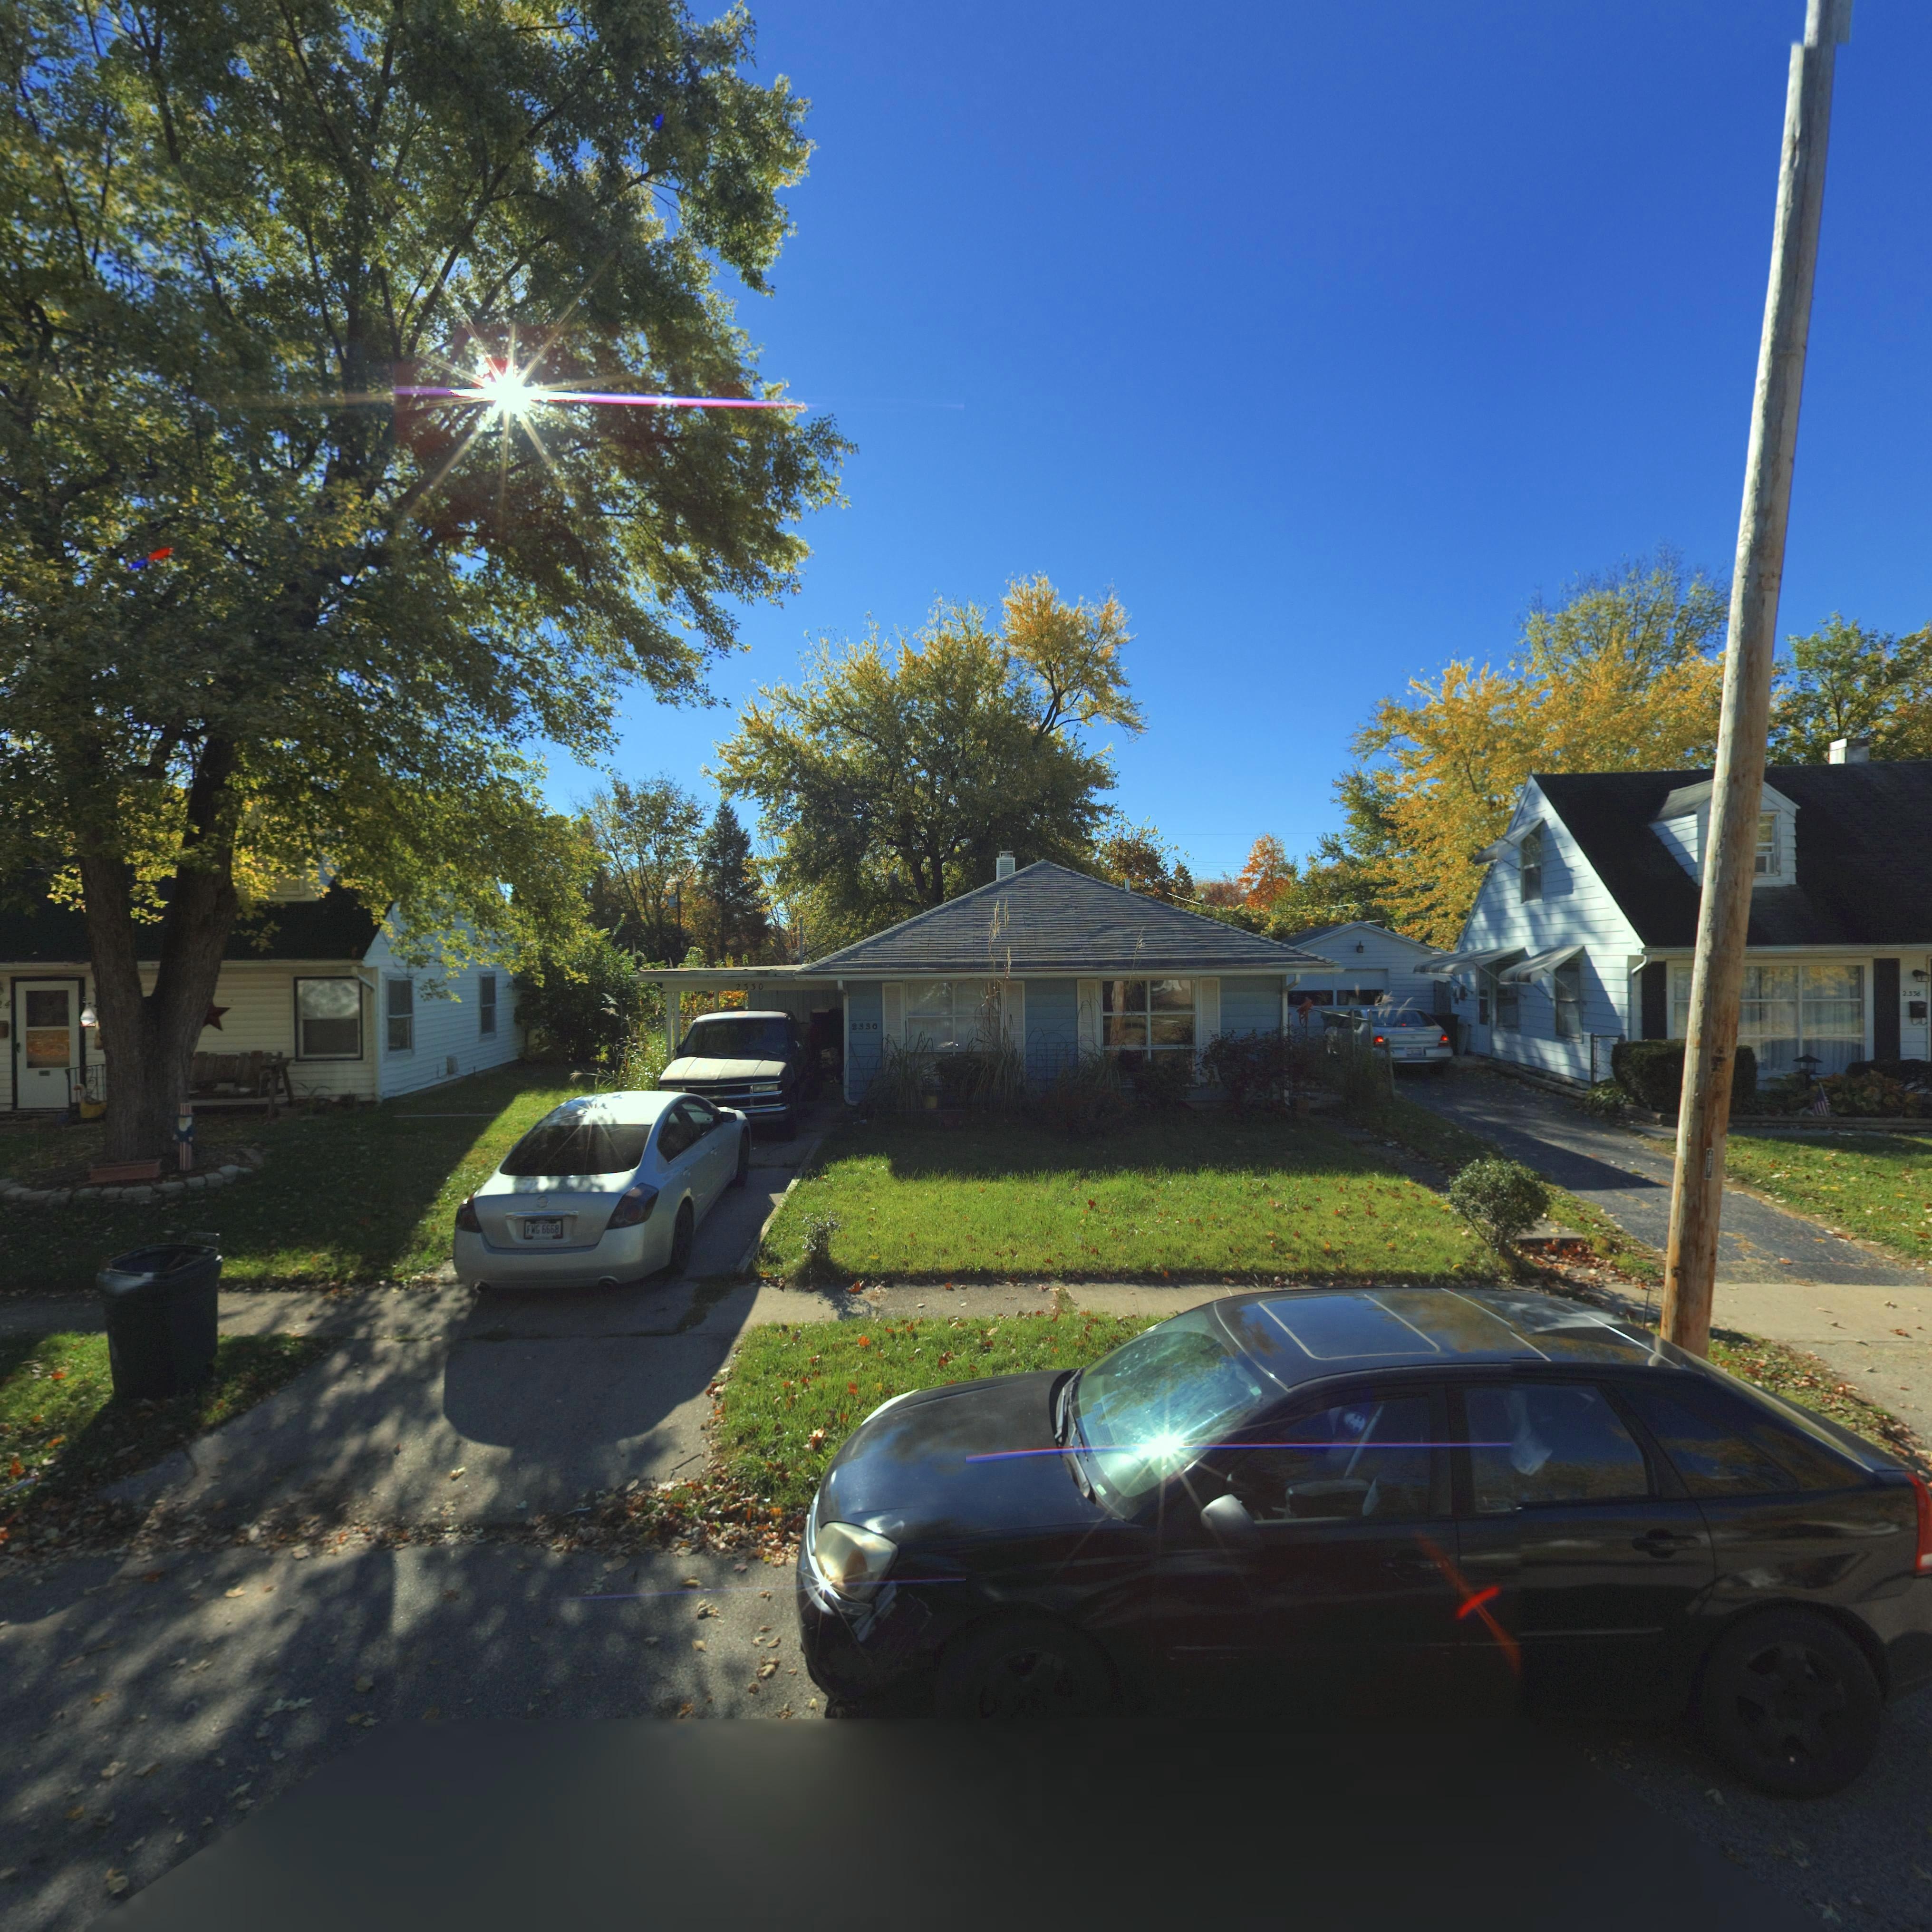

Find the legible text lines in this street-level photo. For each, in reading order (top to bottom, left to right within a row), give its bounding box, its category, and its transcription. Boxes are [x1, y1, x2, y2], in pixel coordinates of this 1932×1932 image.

[735, 982, 765, 991] StreetNumber: 2330
[1901, 990, 1922, 997] StreetNumber: 2*36
[4, 998, 11, 1009] StreetNumber: 4
[850, 1022, 879, 1031] StreetNumber: 2330